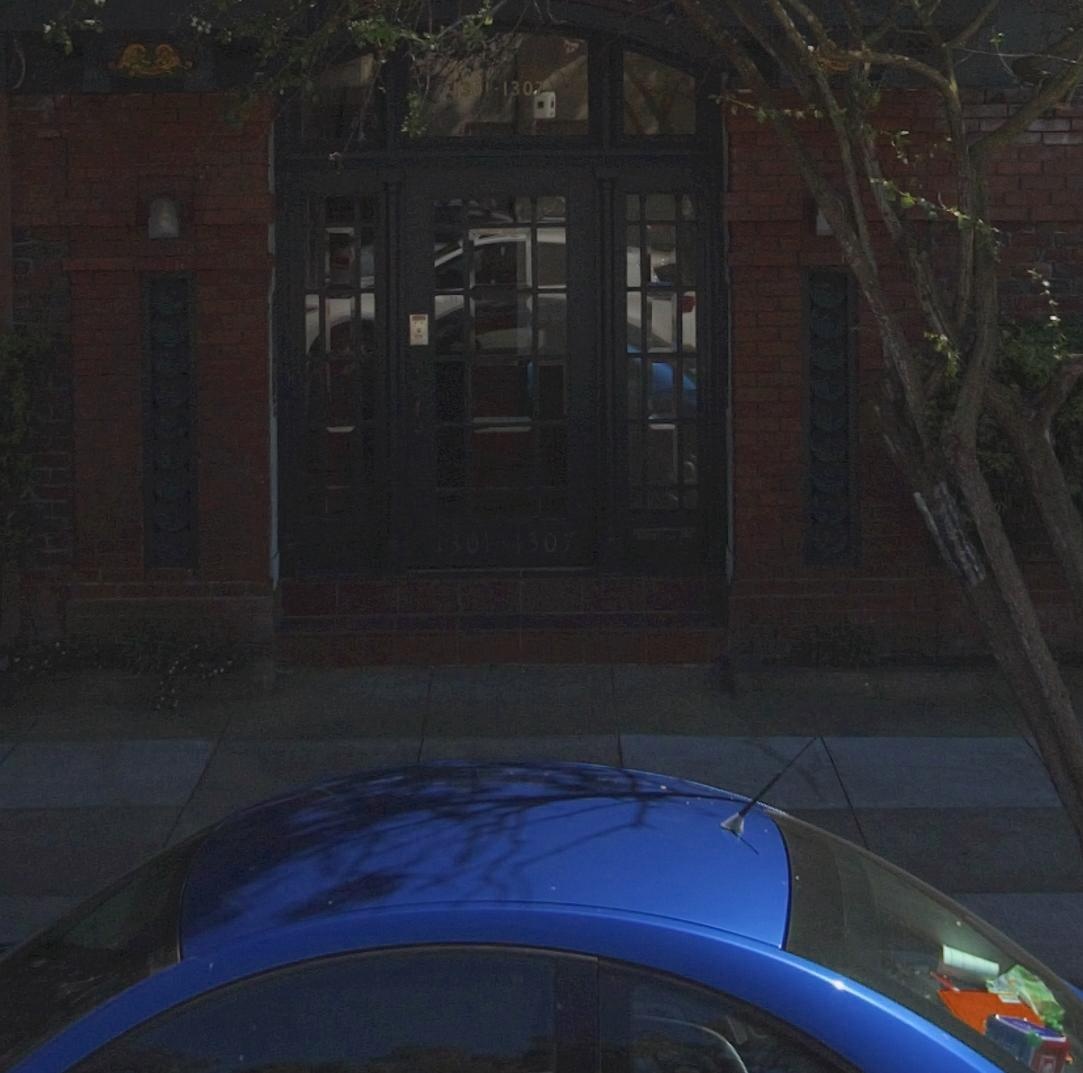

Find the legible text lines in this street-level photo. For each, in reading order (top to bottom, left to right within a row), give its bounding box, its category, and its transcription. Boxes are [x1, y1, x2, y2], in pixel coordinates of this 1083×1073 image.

[435, 532, 492, 556] StreetNumber: 1301
[514, 529, 575, 555] StreetNumber: 1307